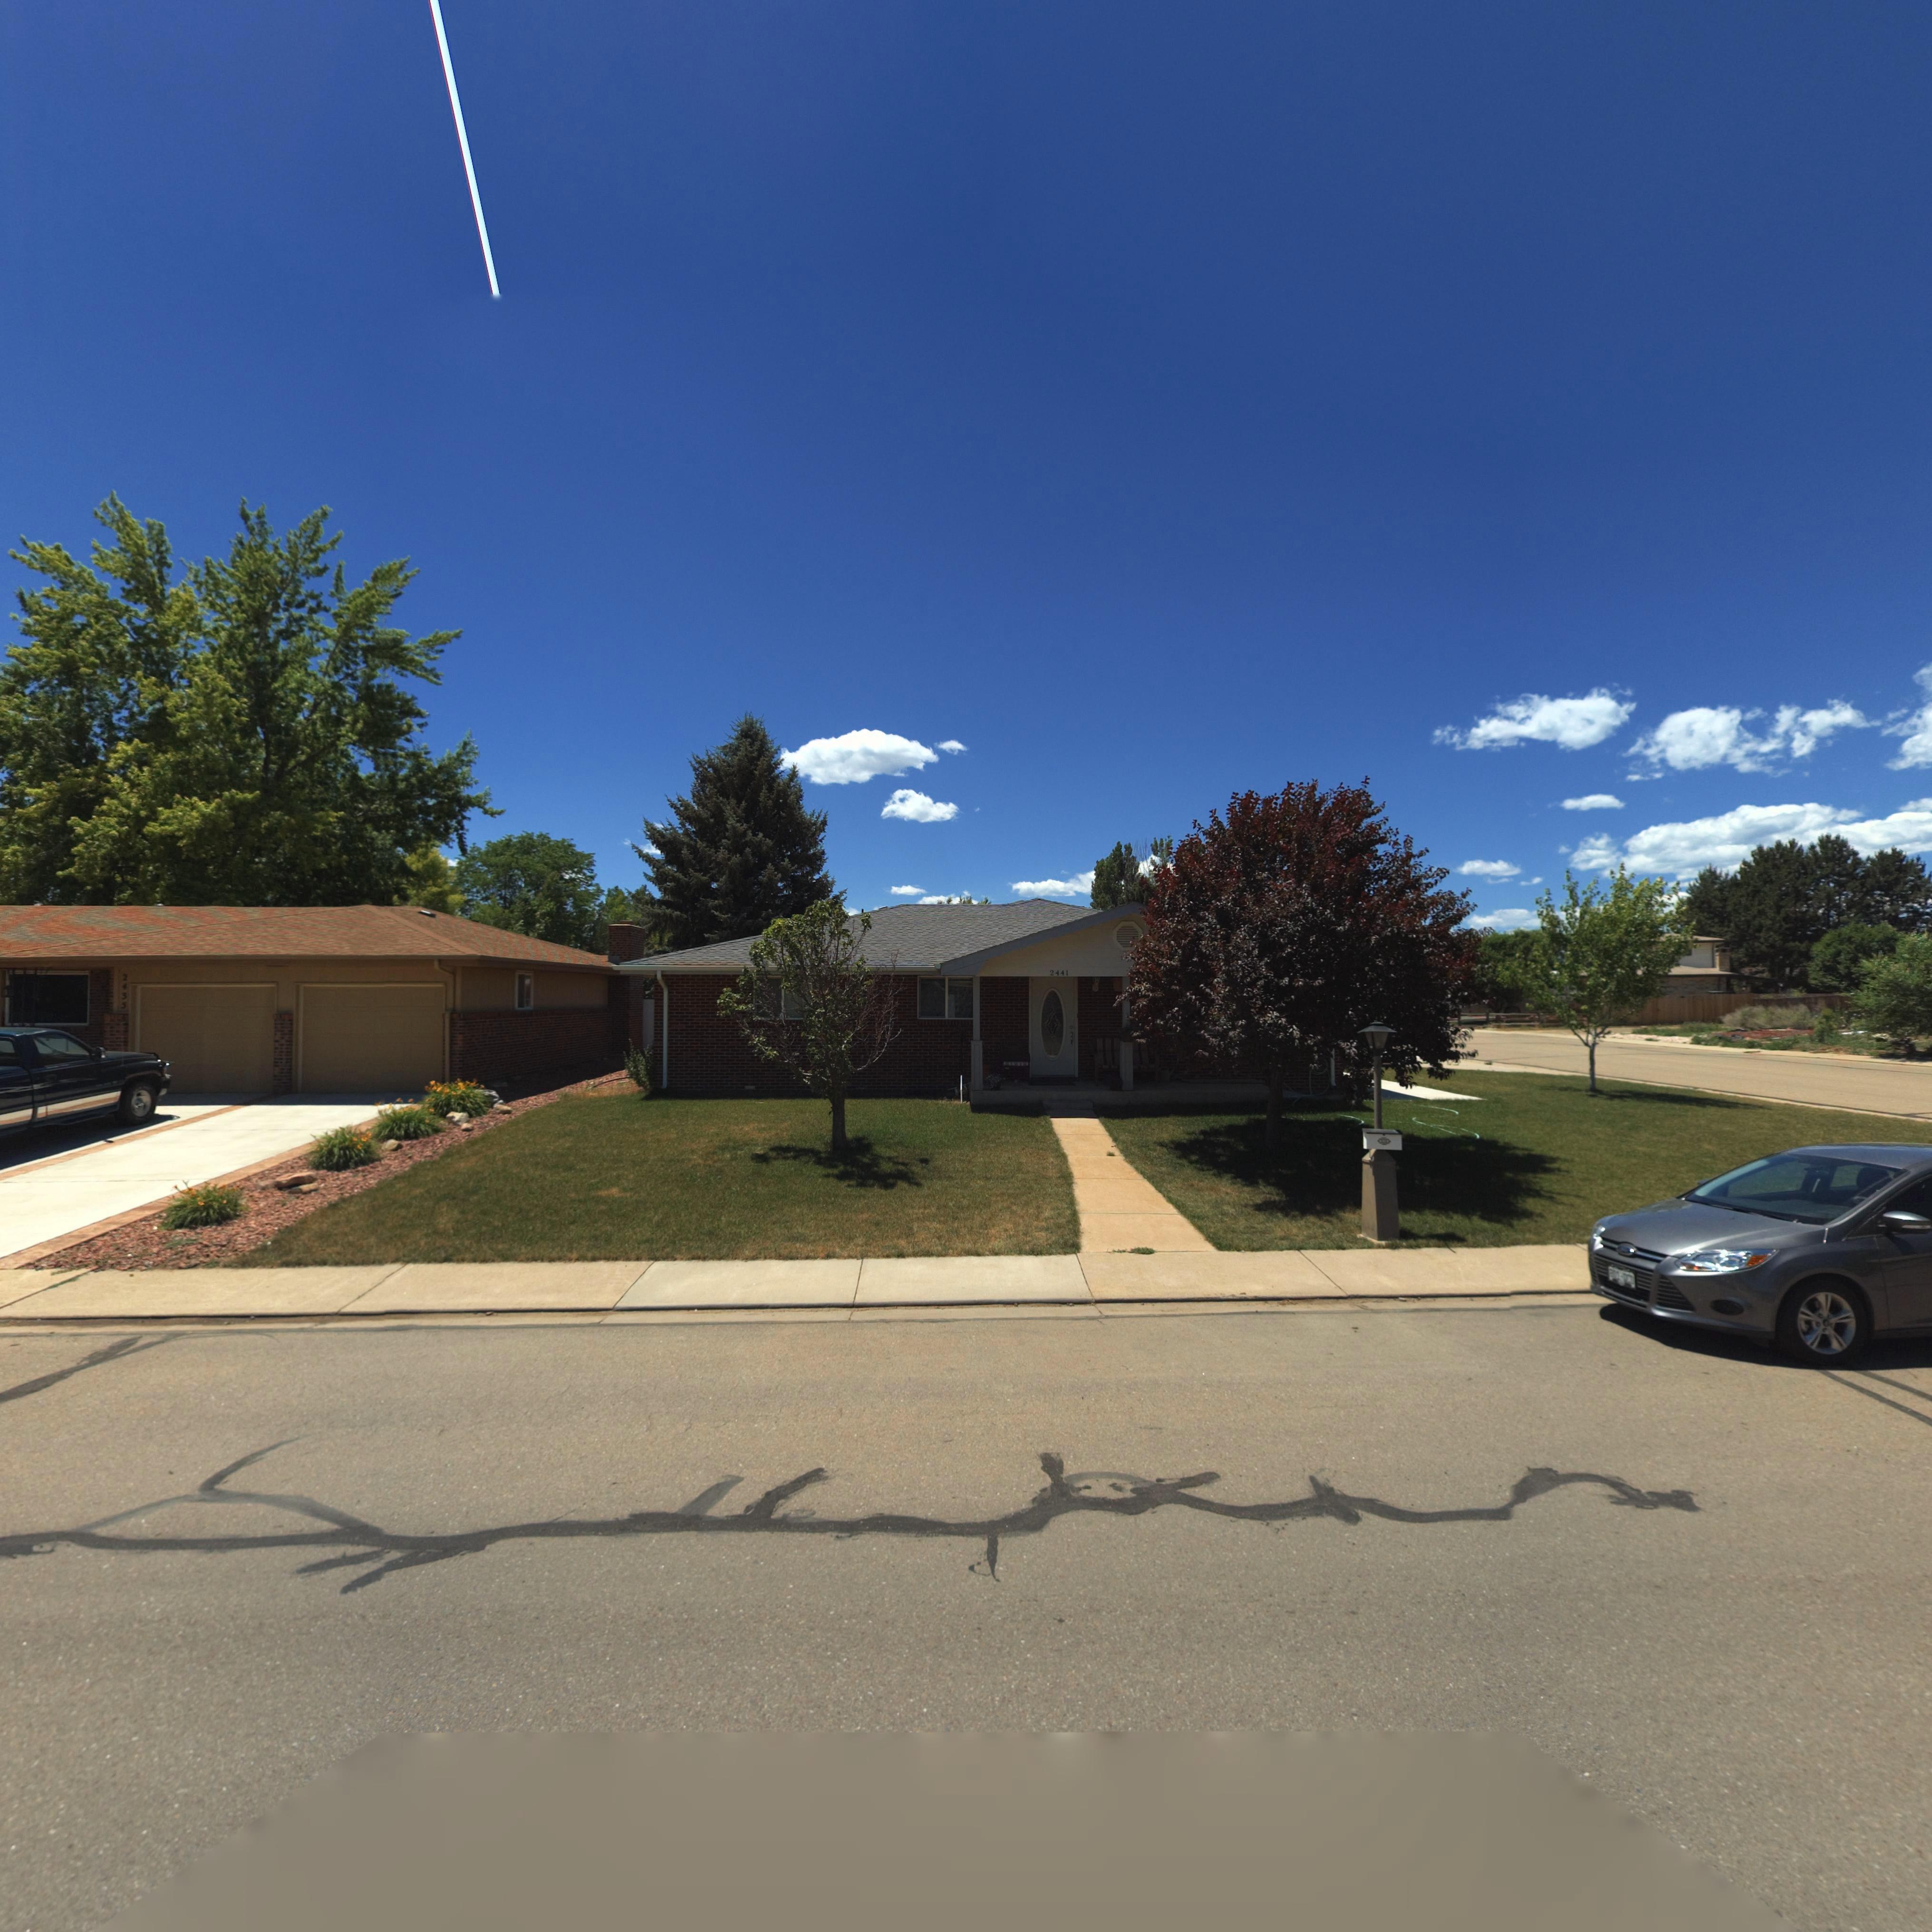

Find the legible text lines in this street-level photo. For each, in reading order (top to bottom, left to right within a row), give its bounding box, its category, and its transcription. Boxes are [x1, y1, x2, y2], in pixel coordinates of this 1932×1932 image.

[120, 973, 128, 1009] StreetNumber: 2435
[1049, 969, 1068, 976] StreetNumber: 2441